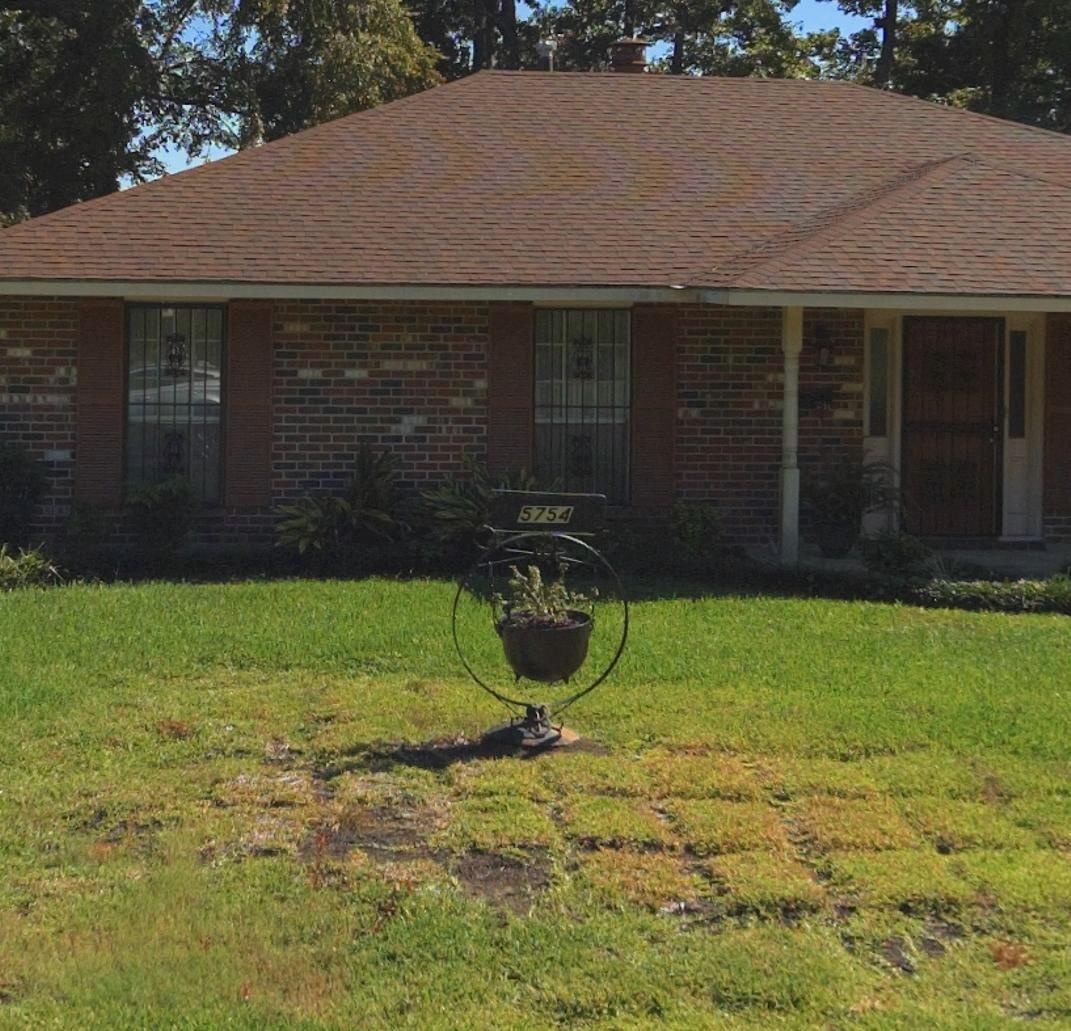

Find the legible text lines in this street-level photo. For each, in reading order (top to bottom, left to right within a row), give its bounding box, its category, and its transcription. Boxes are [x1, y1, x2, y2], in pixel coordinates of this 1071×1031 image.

[515, 505, 574, 523] StreetNumber: 5754